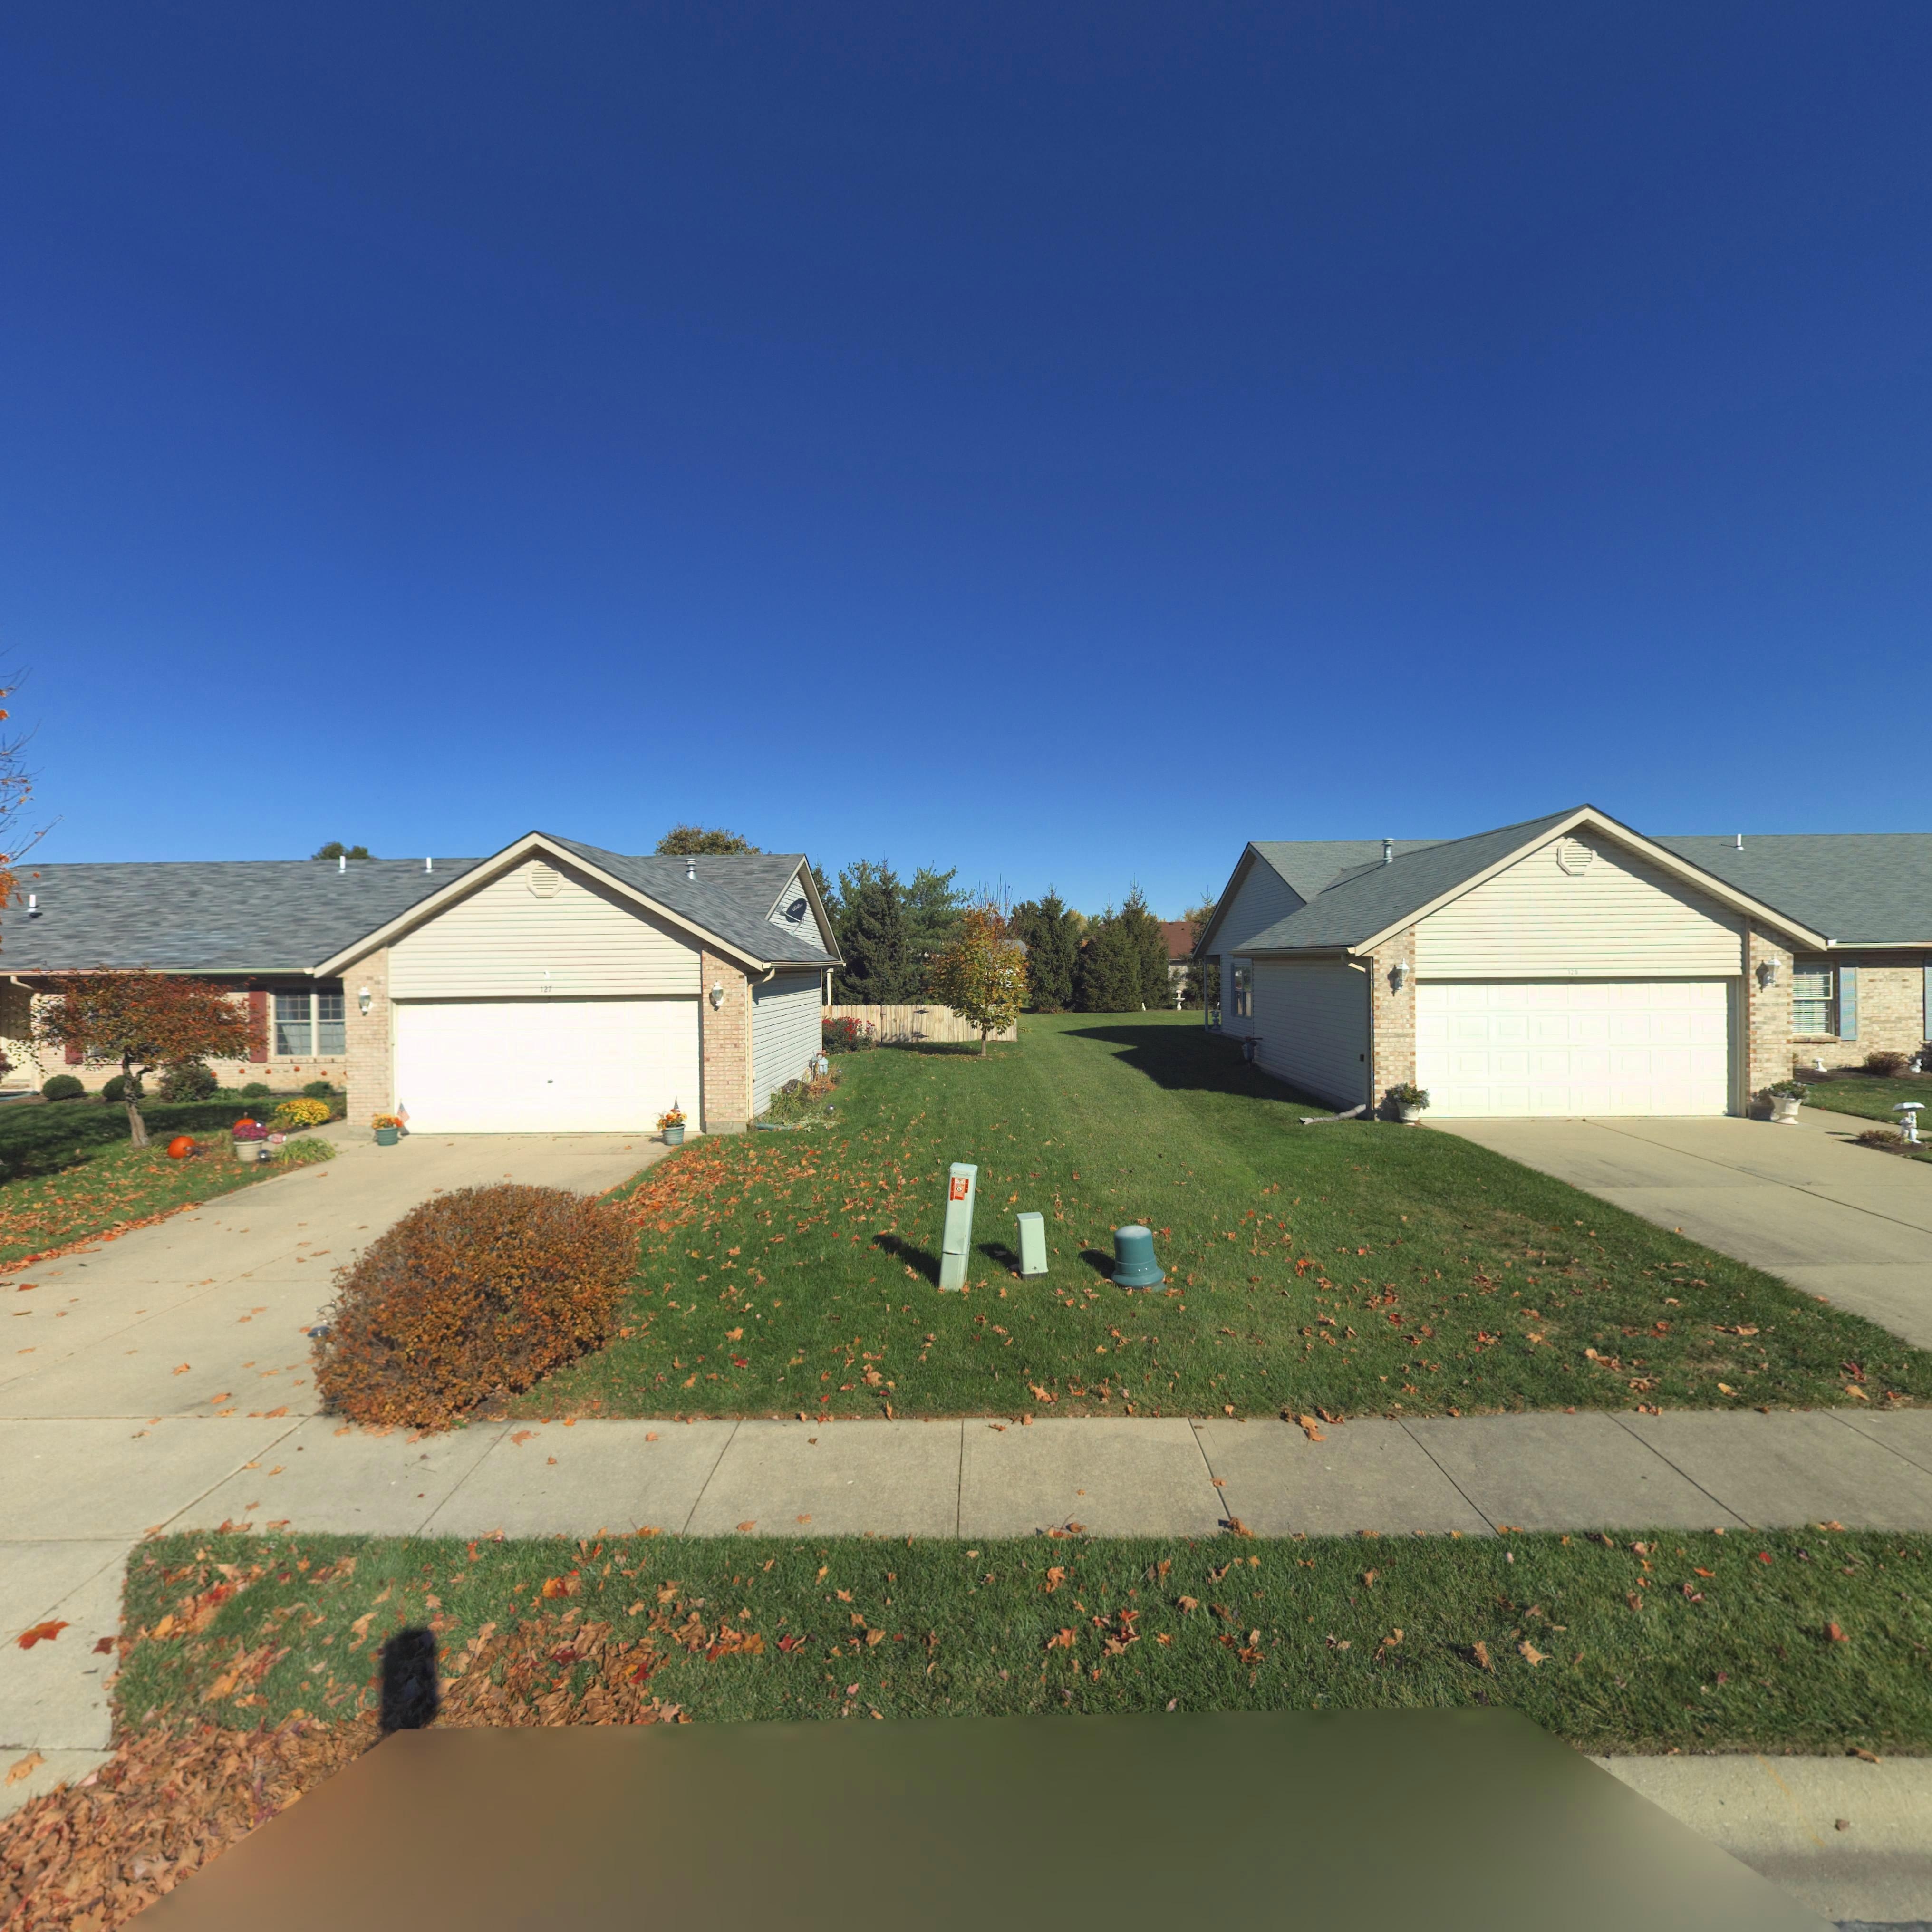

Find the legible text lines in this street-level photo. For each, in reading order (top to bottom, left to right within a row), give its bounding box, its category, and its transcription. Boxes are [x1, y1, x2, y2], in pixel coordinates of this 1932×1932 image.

[1567, 968, 1578, 975] StreetNumber: 129
[540, 985, 552, 993] StreetNumber: 127